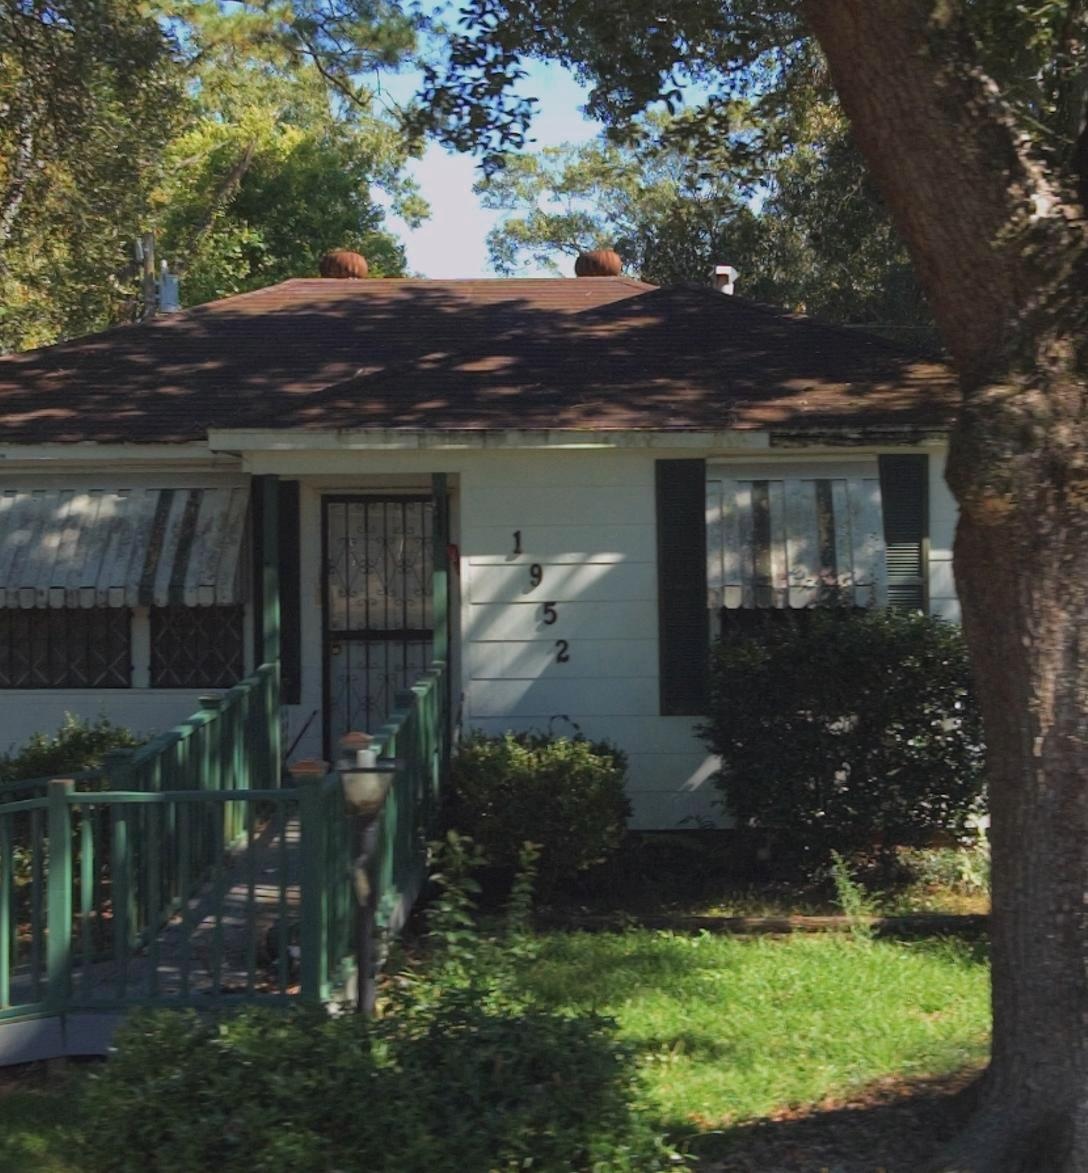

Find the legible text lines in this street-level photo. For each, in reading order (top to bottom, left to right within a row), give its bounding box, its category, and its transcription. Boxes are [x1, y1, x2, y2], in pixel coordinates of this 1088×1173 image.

[510, 528, 573, 665] StreetNumber: 1952